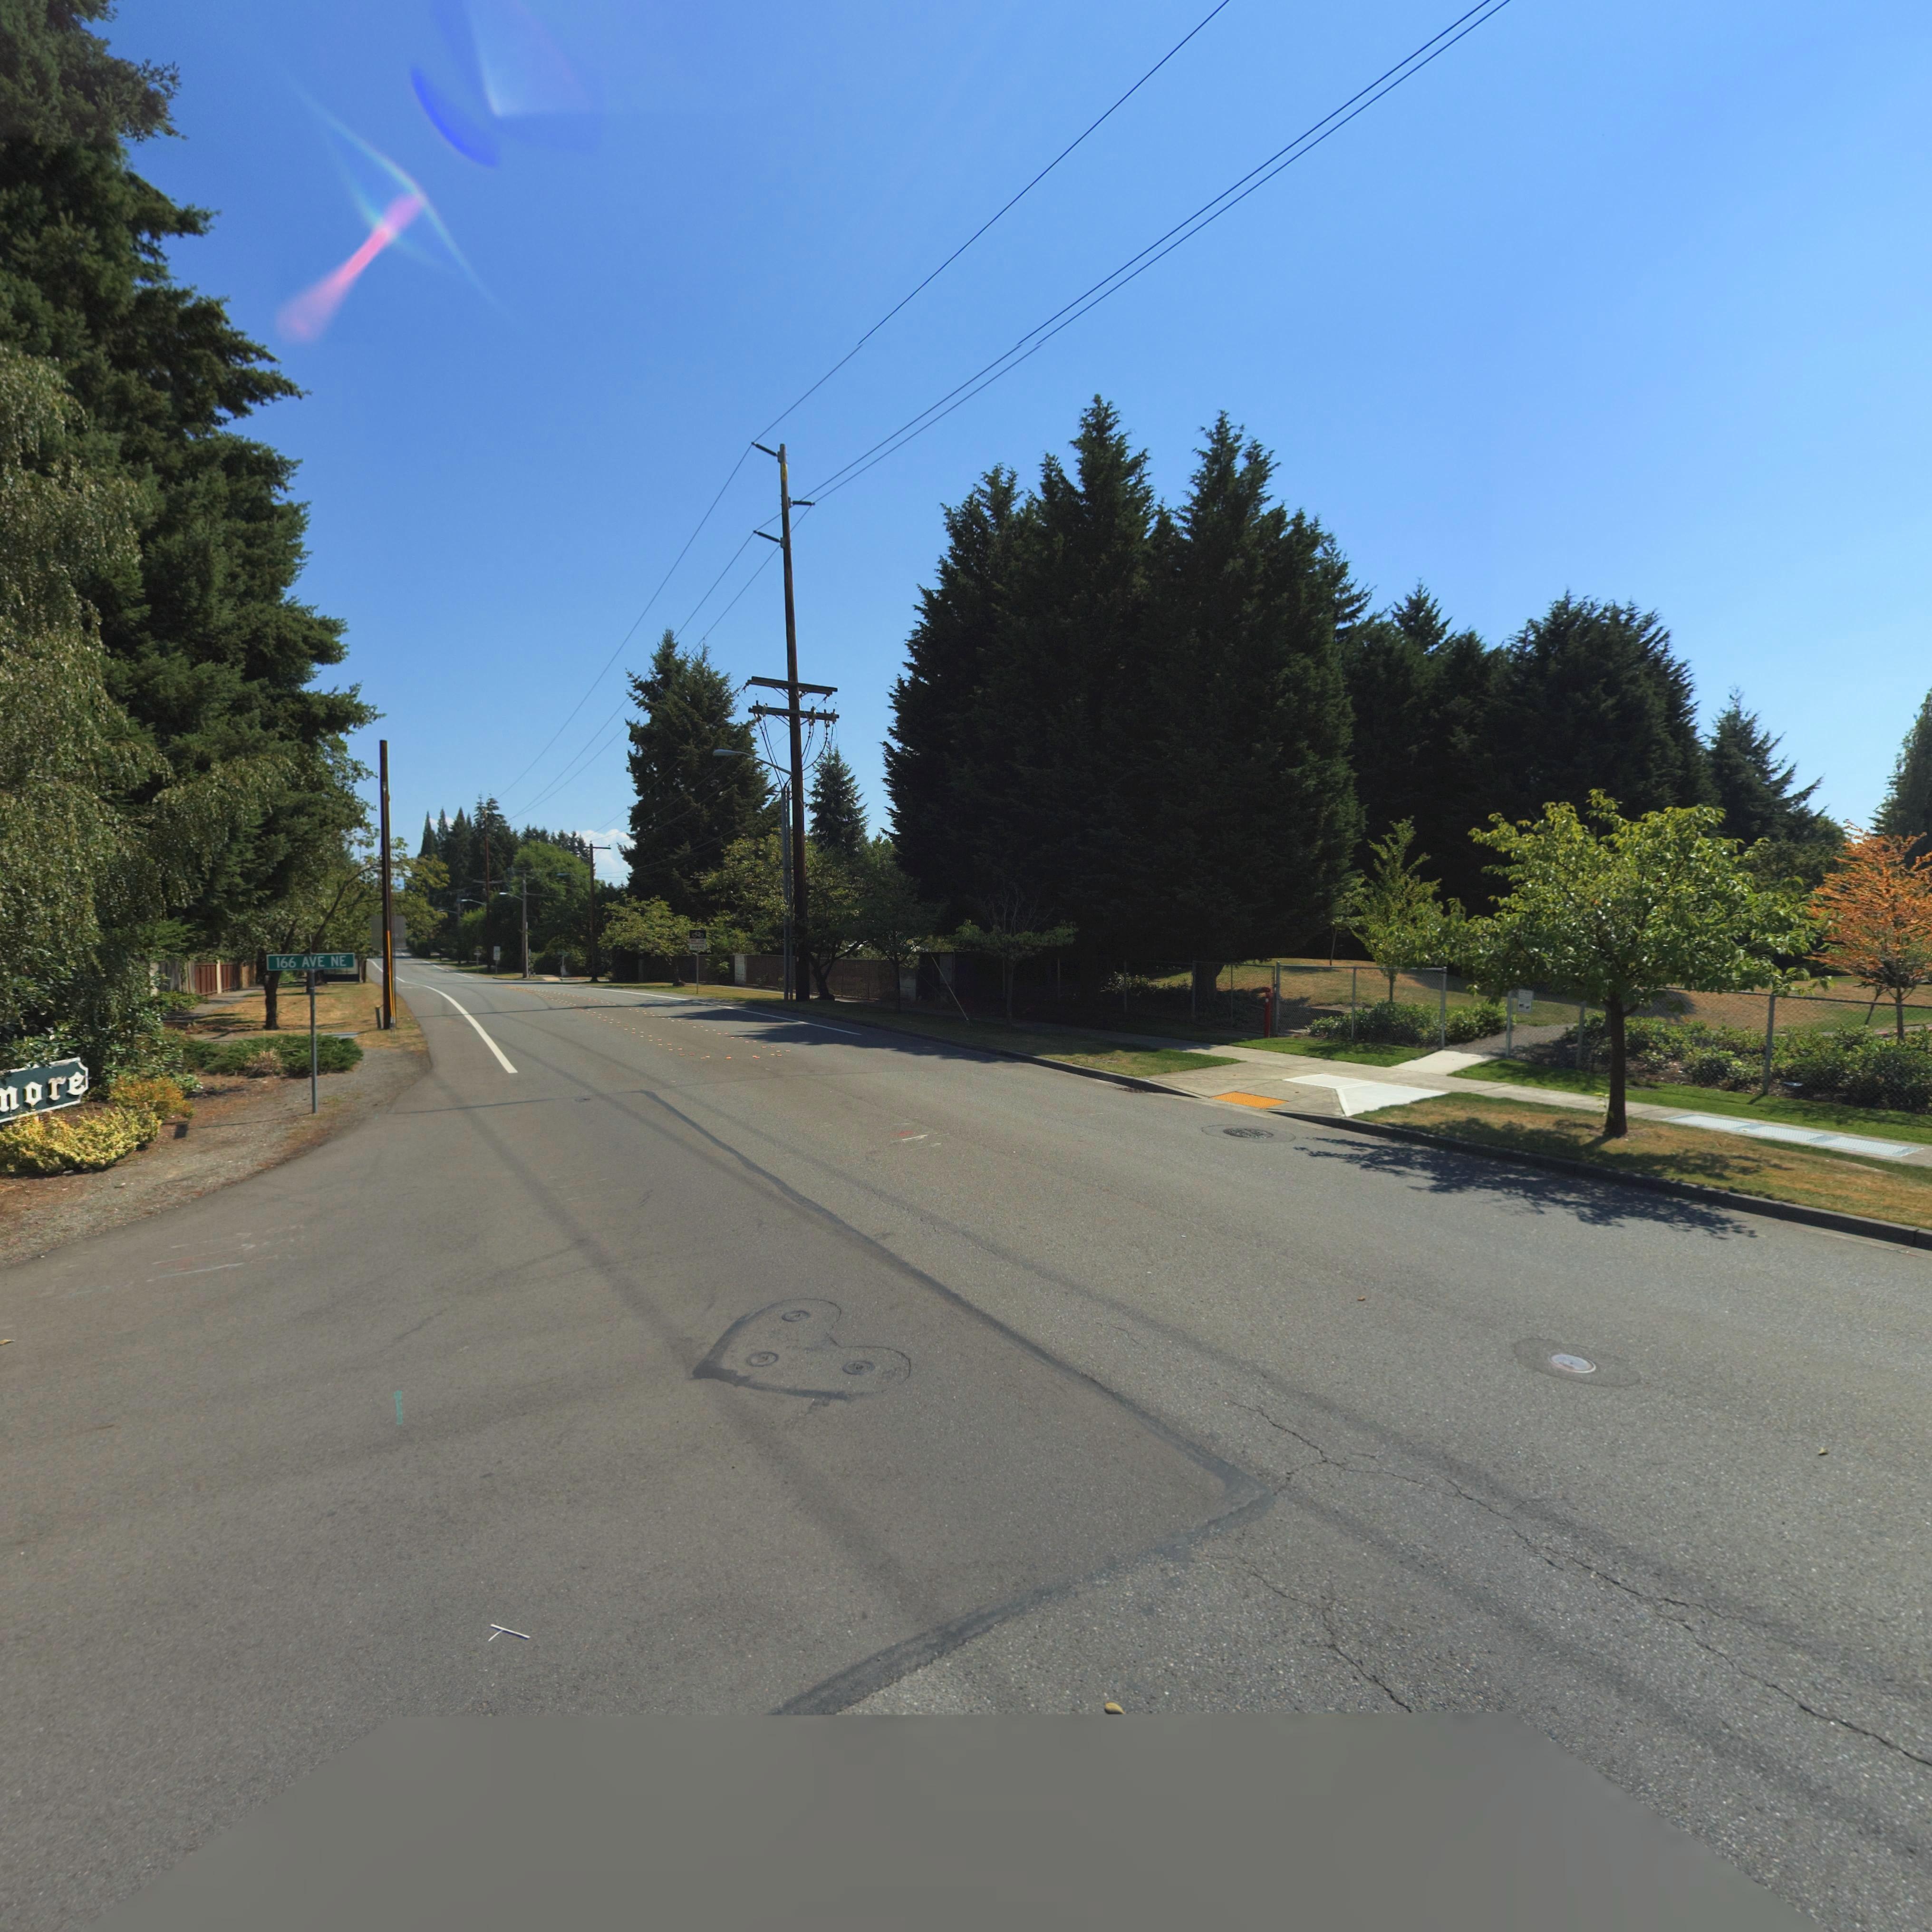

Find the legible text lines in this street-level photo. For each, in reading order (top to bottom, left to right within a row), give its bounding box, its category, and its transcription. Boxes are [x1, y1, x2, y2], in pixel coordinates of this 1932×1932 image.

[276, 956, 346, 968] StreetName: 166 AVE NE